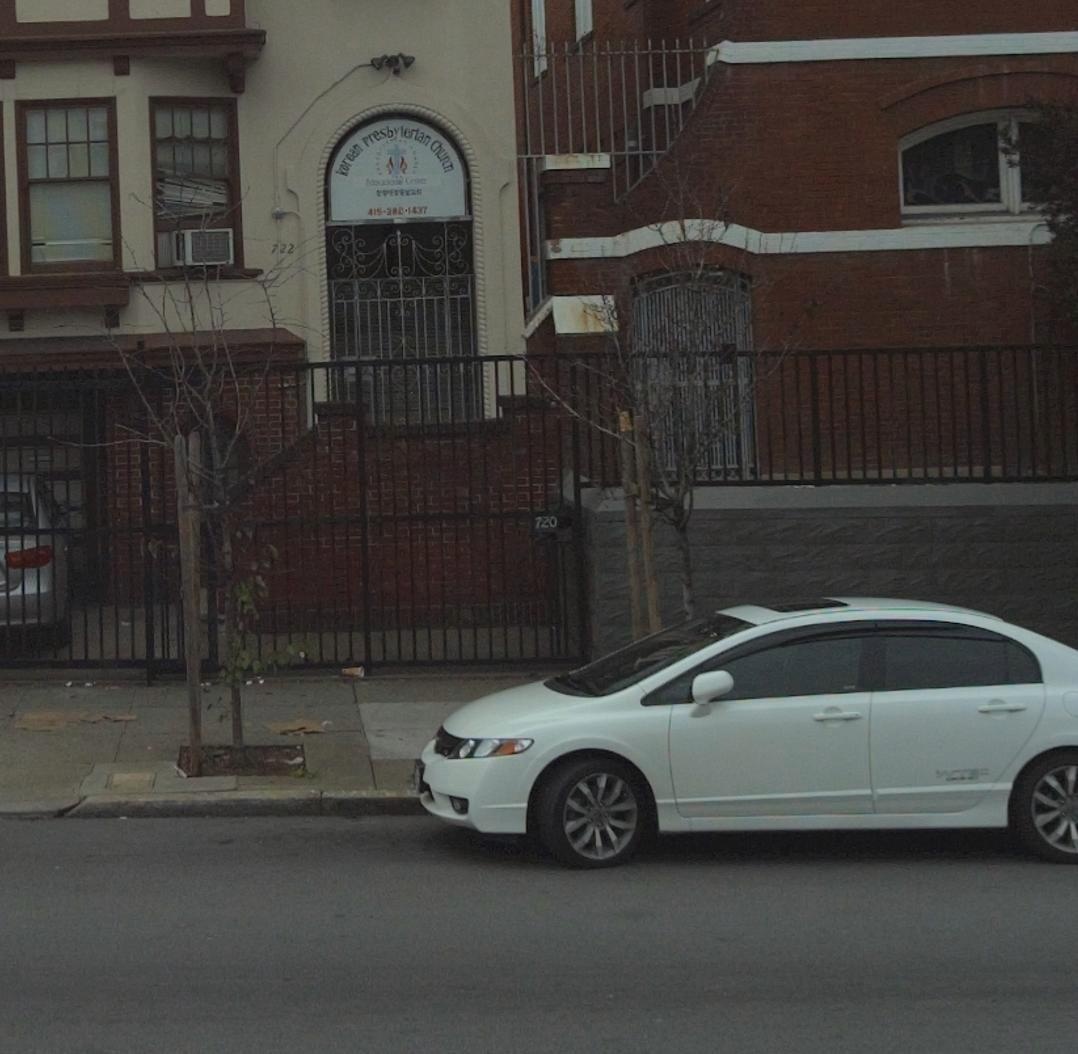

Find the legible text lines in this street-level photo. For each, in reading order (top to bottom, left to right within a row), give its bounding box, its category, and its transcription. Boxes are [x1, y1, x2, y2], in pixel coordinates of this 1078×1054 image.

[333, 123, 457, 178] BusinessName: Korean Presbyterian Church
[269, 242, 296, 256] StreetNumber: 722
[534, 515, 559, 529] StreetNumber: 720